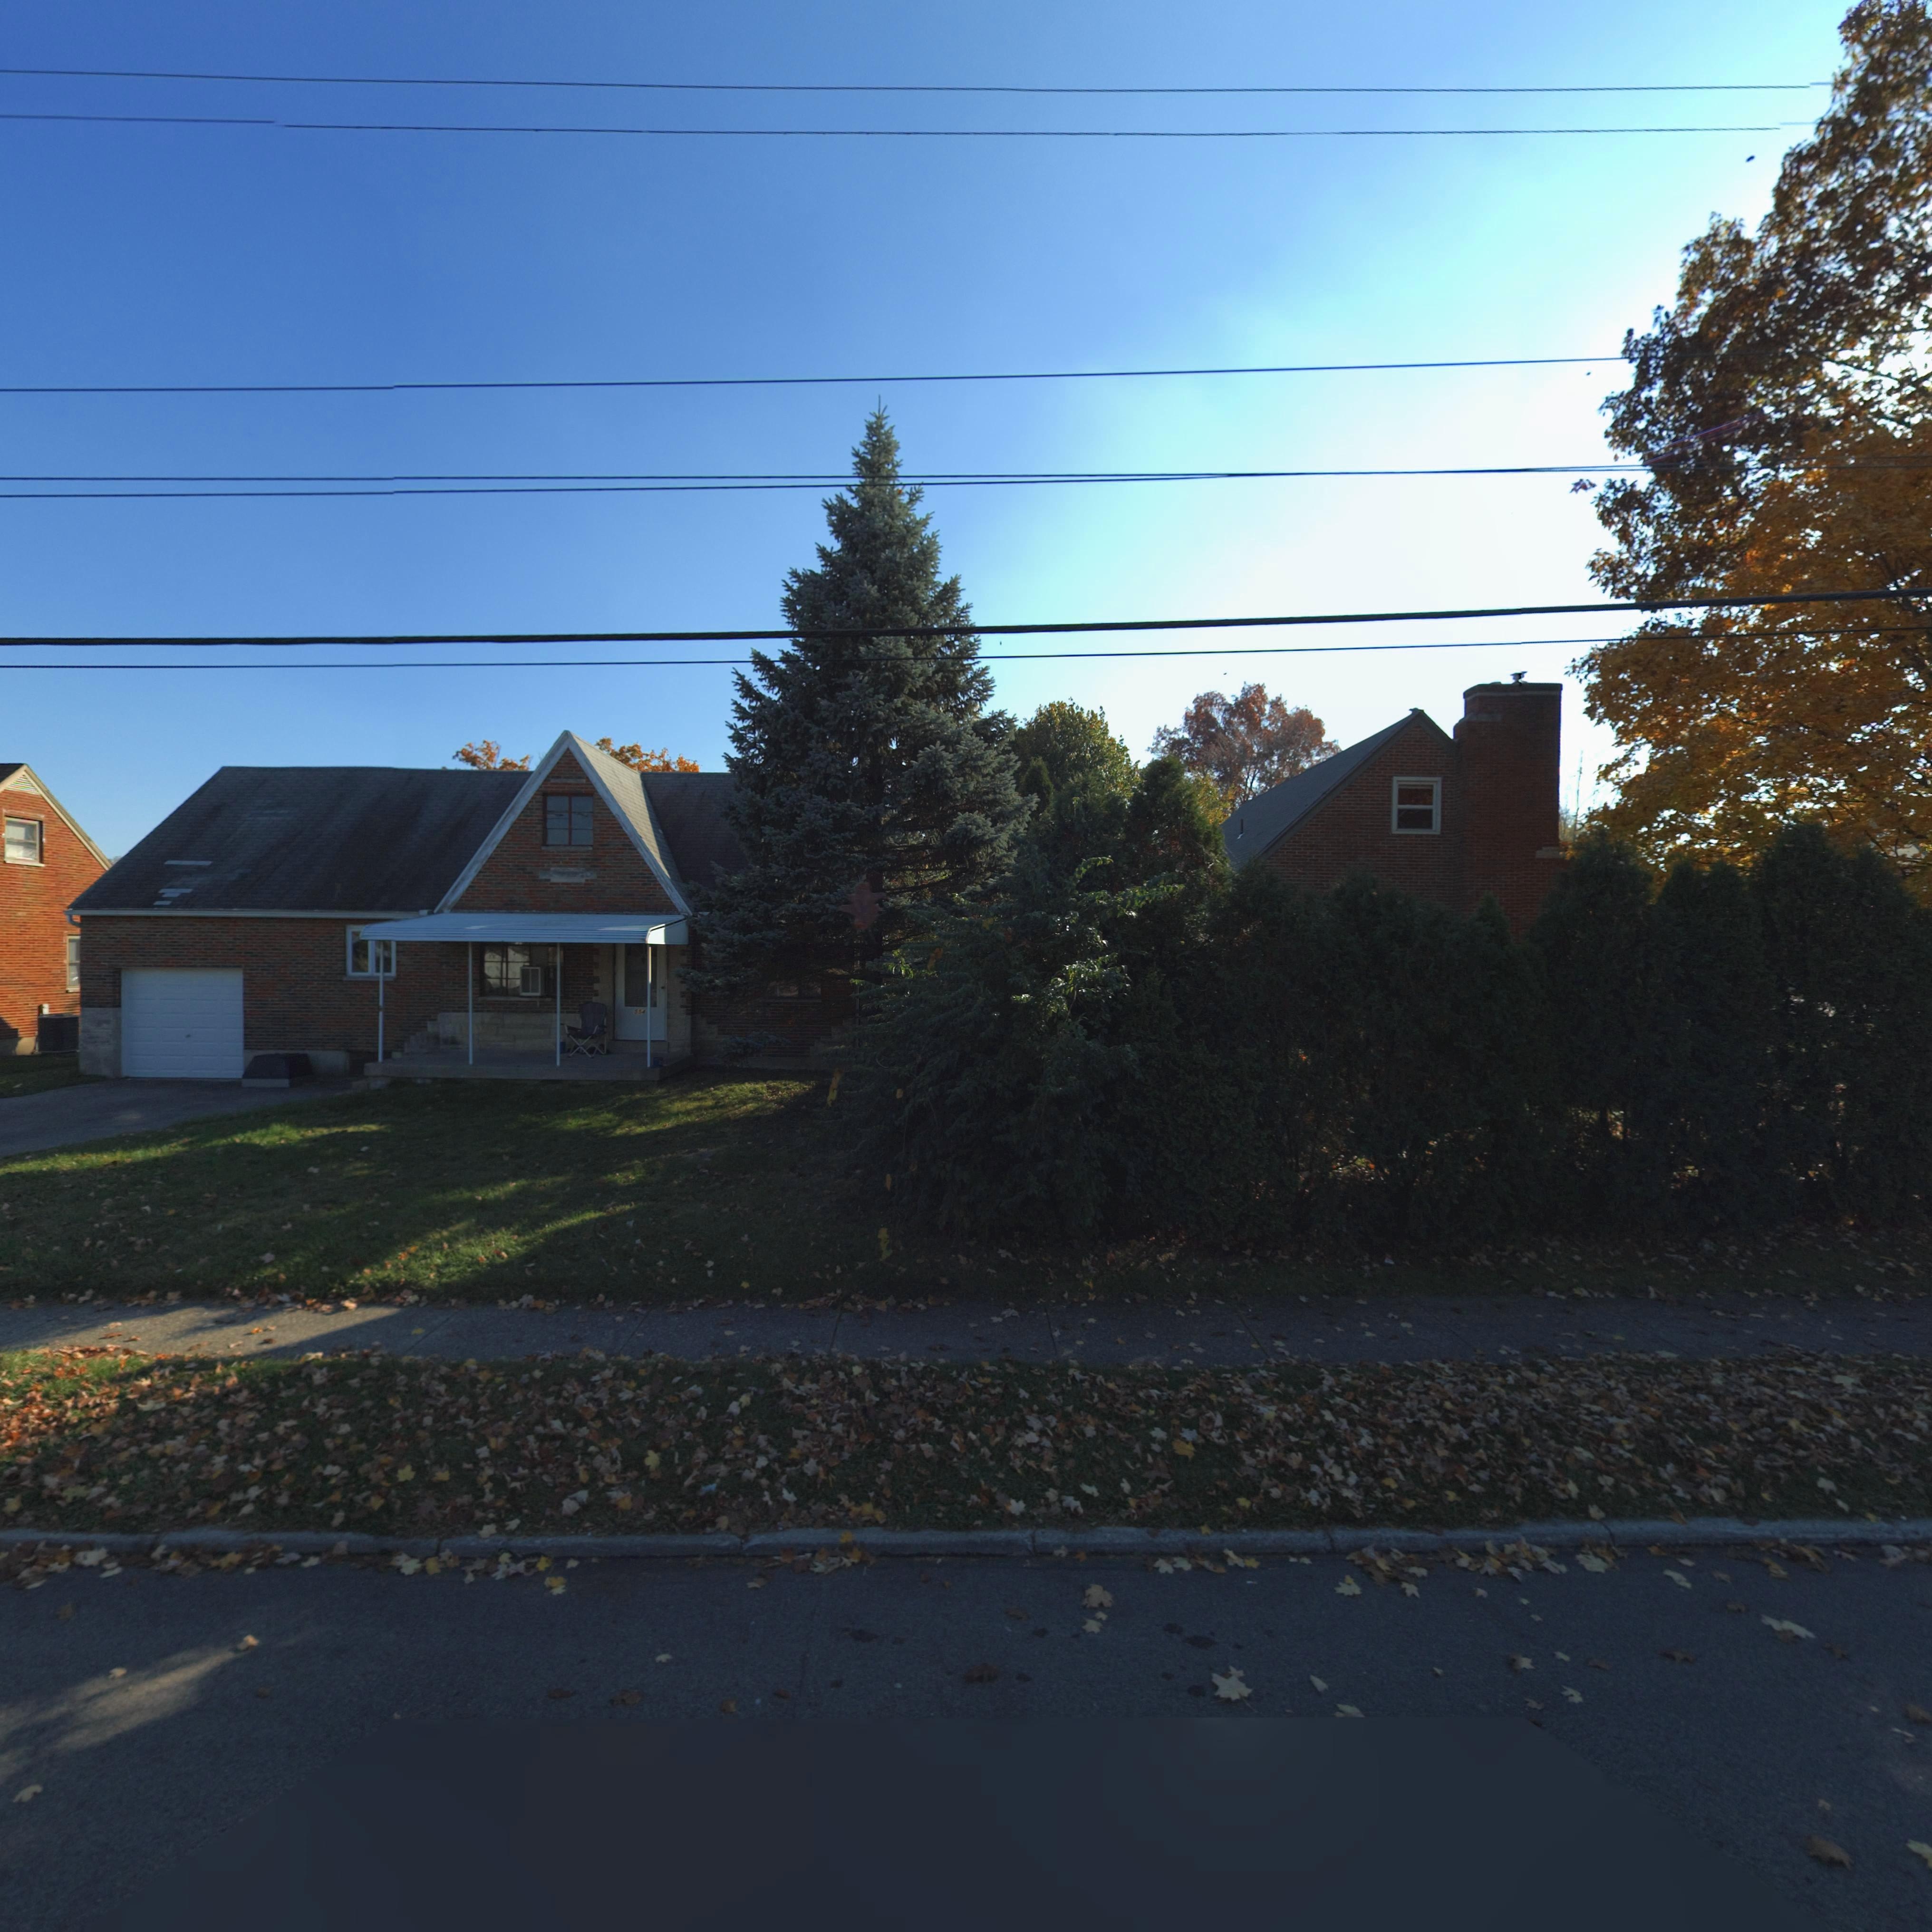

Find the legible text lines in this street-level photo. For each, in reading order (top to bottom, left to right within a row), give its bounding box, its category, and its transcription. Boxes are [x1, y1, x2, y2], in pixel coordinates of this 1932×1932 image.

[634, 1008, 647, 1014] StreetNumber: 554